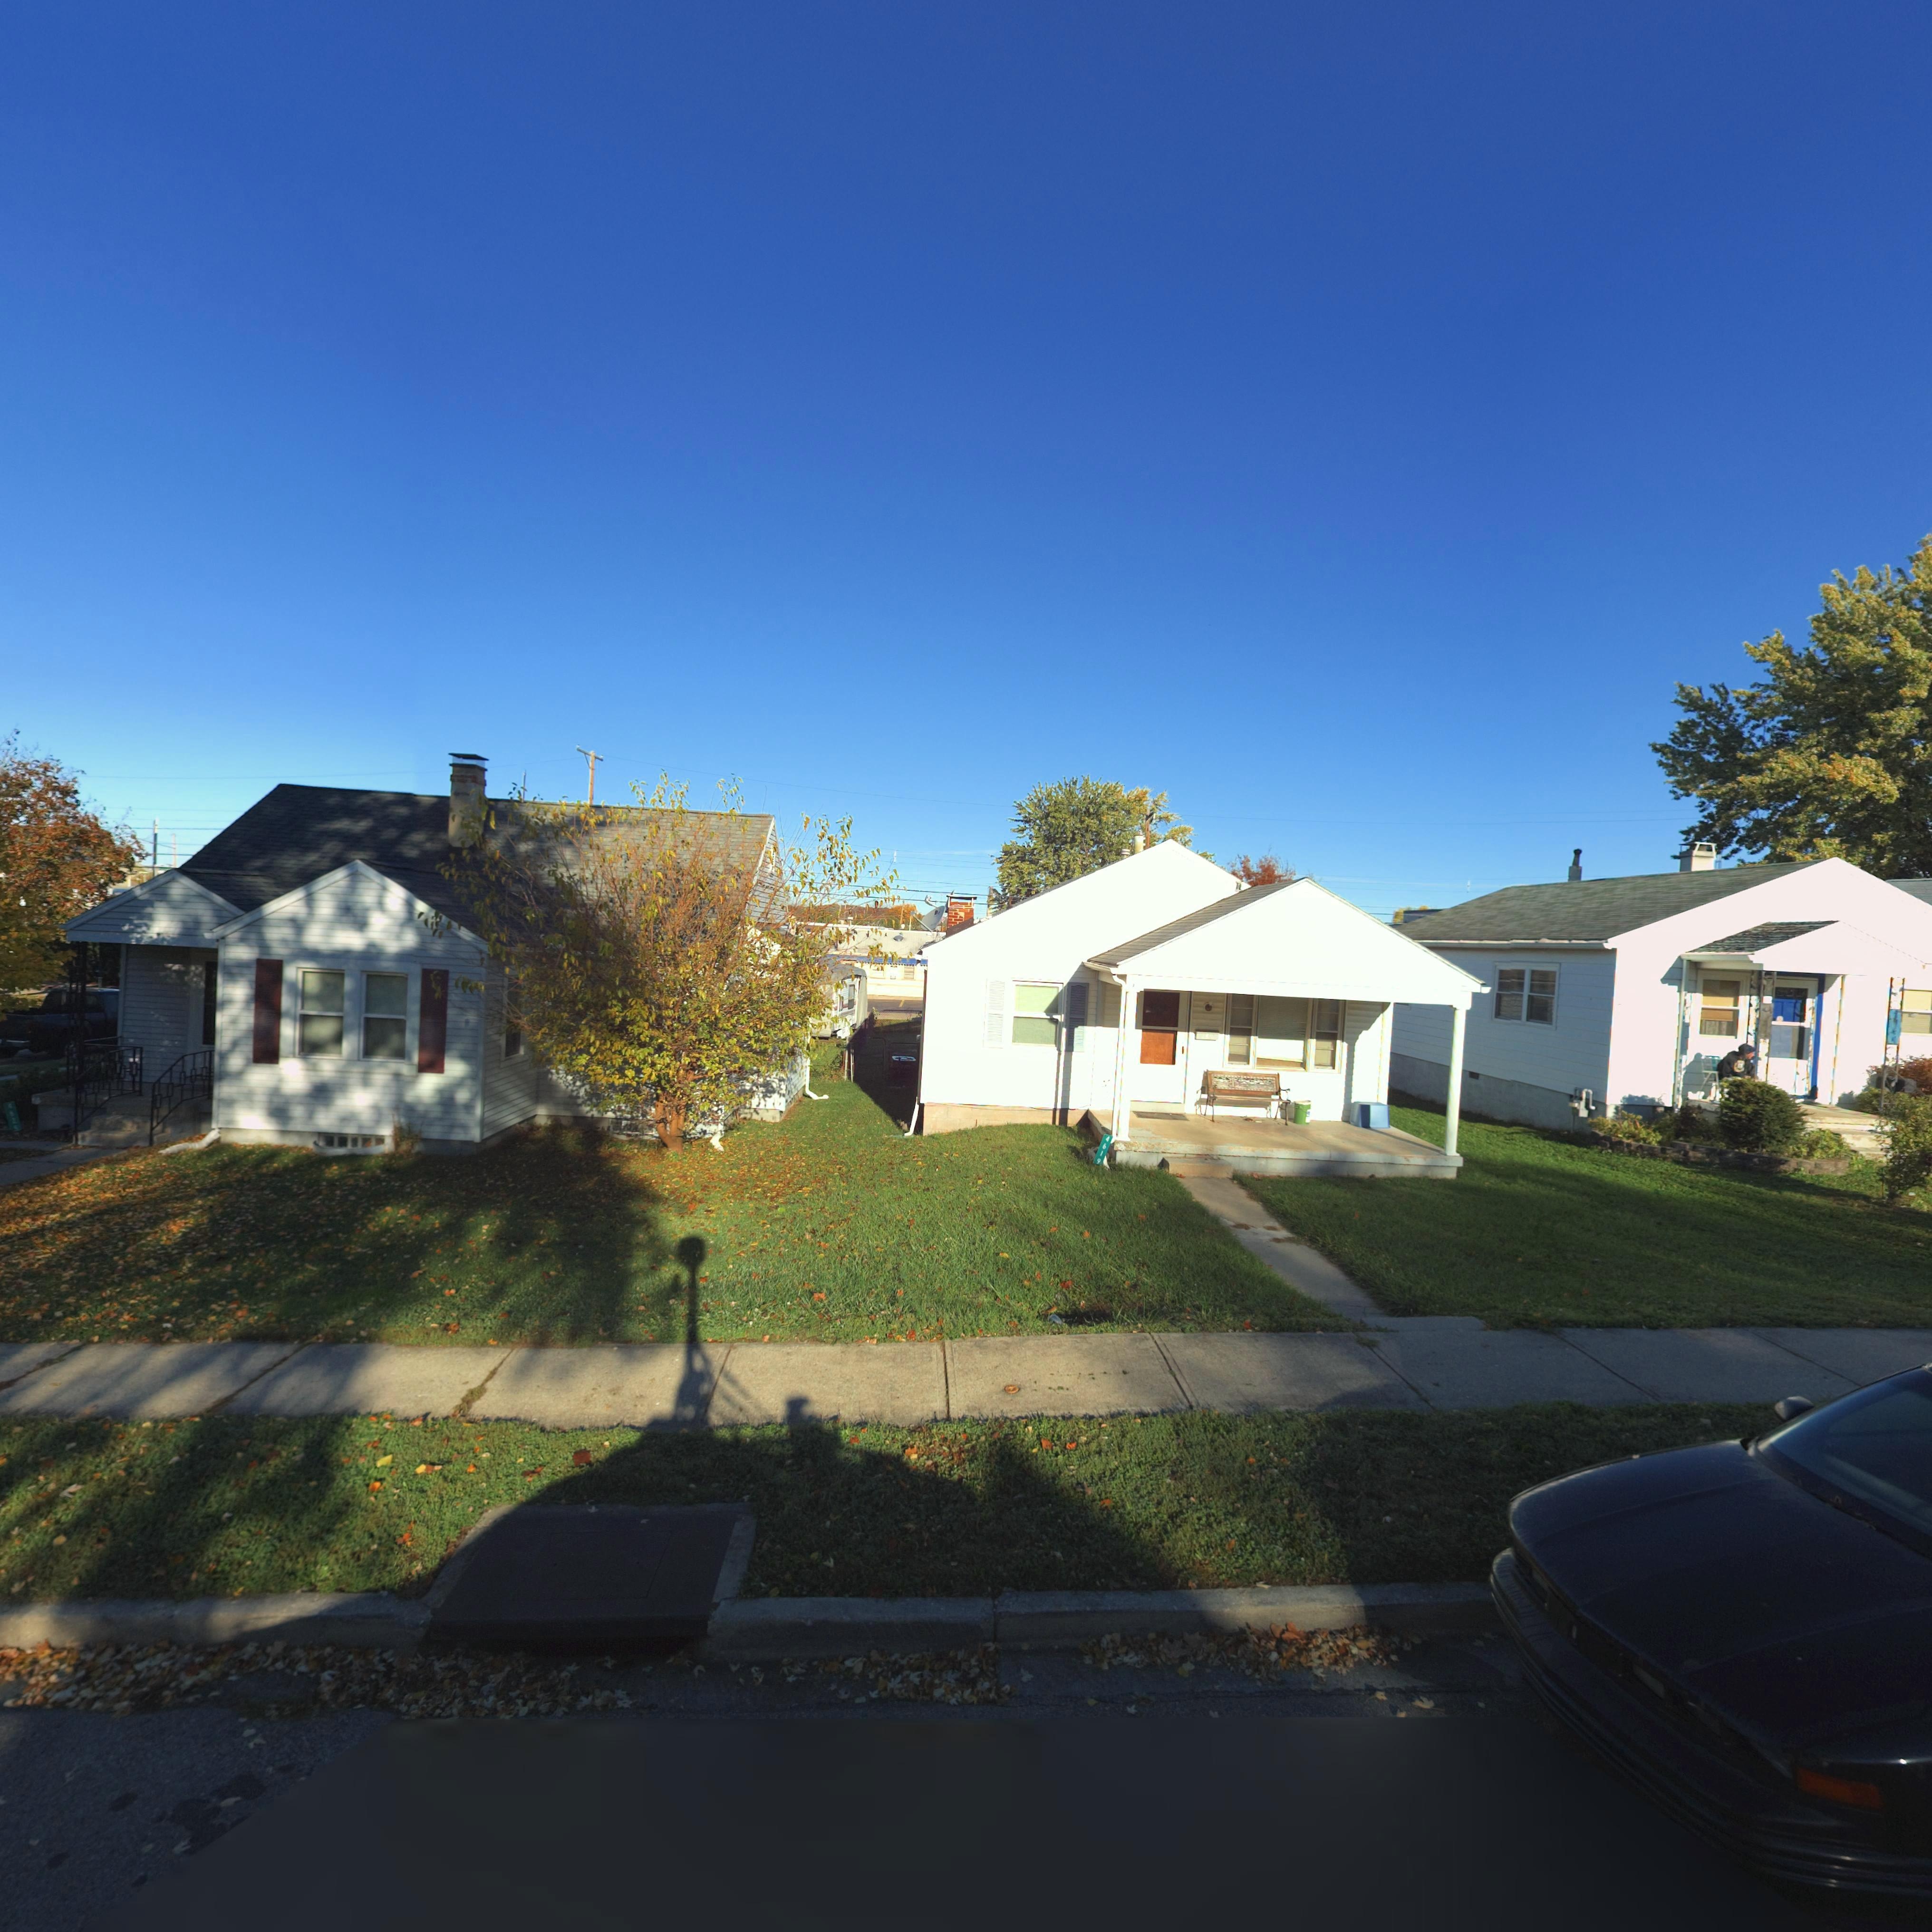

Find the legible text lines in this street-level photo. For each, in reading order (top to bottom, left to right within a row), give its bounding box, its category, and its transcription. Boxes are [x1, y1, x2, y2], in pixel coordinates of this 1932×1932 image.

[1095, 1135, 1111, 1166] StreetNumber: 4619